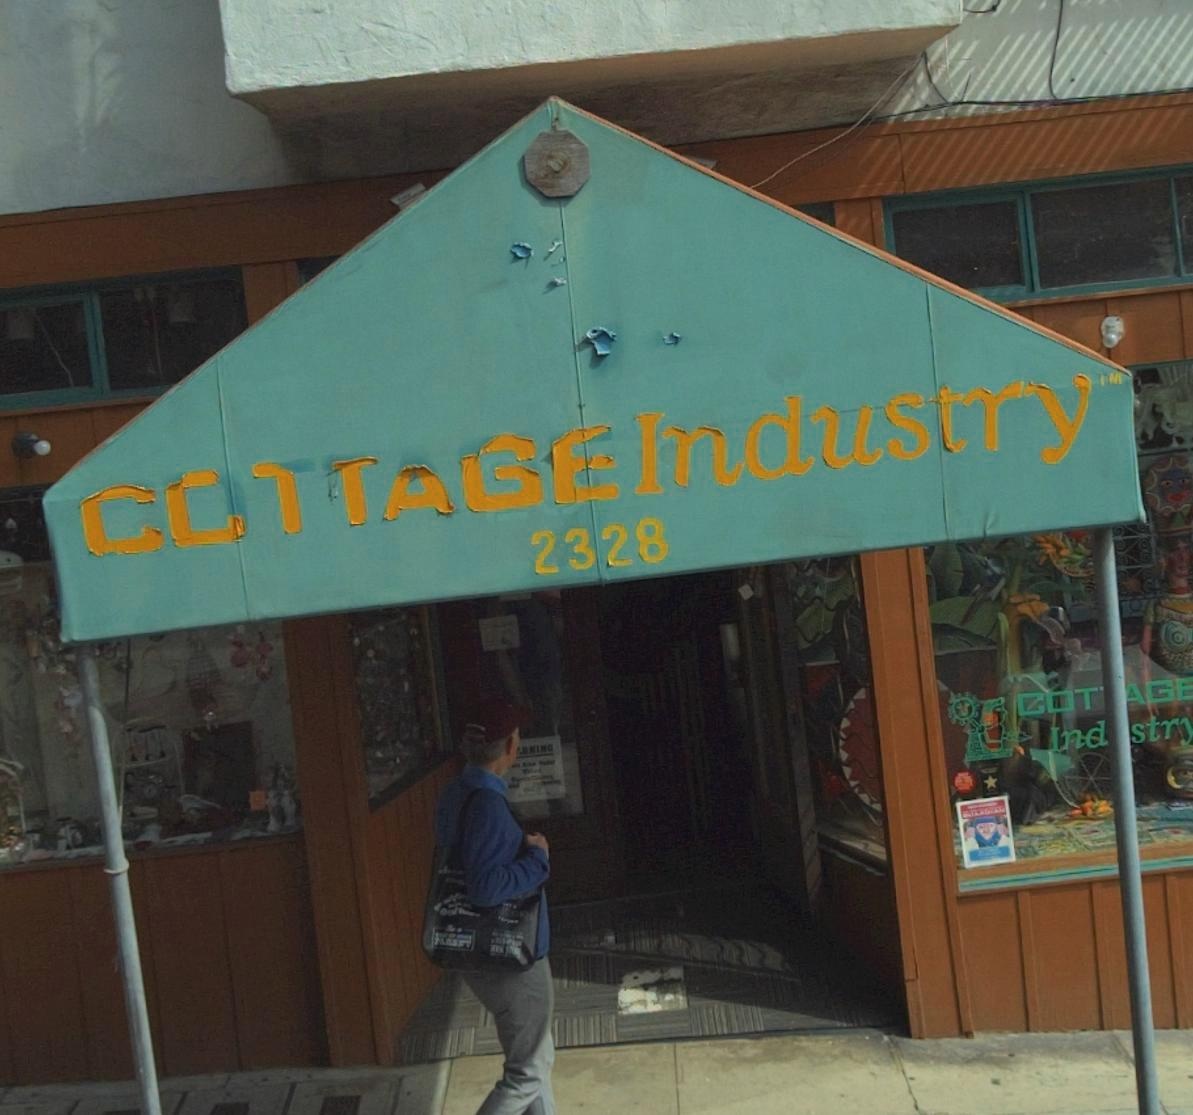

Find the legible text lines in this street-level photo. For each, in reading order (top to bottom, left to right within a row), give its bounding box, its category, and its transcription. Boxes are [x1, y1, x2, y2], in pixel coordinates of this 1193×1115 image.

[74, 368, 1096, 565] BusinessName: C*****E Industry
[526, 512, 673, 580] StreetNumber: 2328
[1015, 676, 1178, 720] BusinessName: COT**G
[1047, 712, 1183, 756] BusinessName: Ind*str